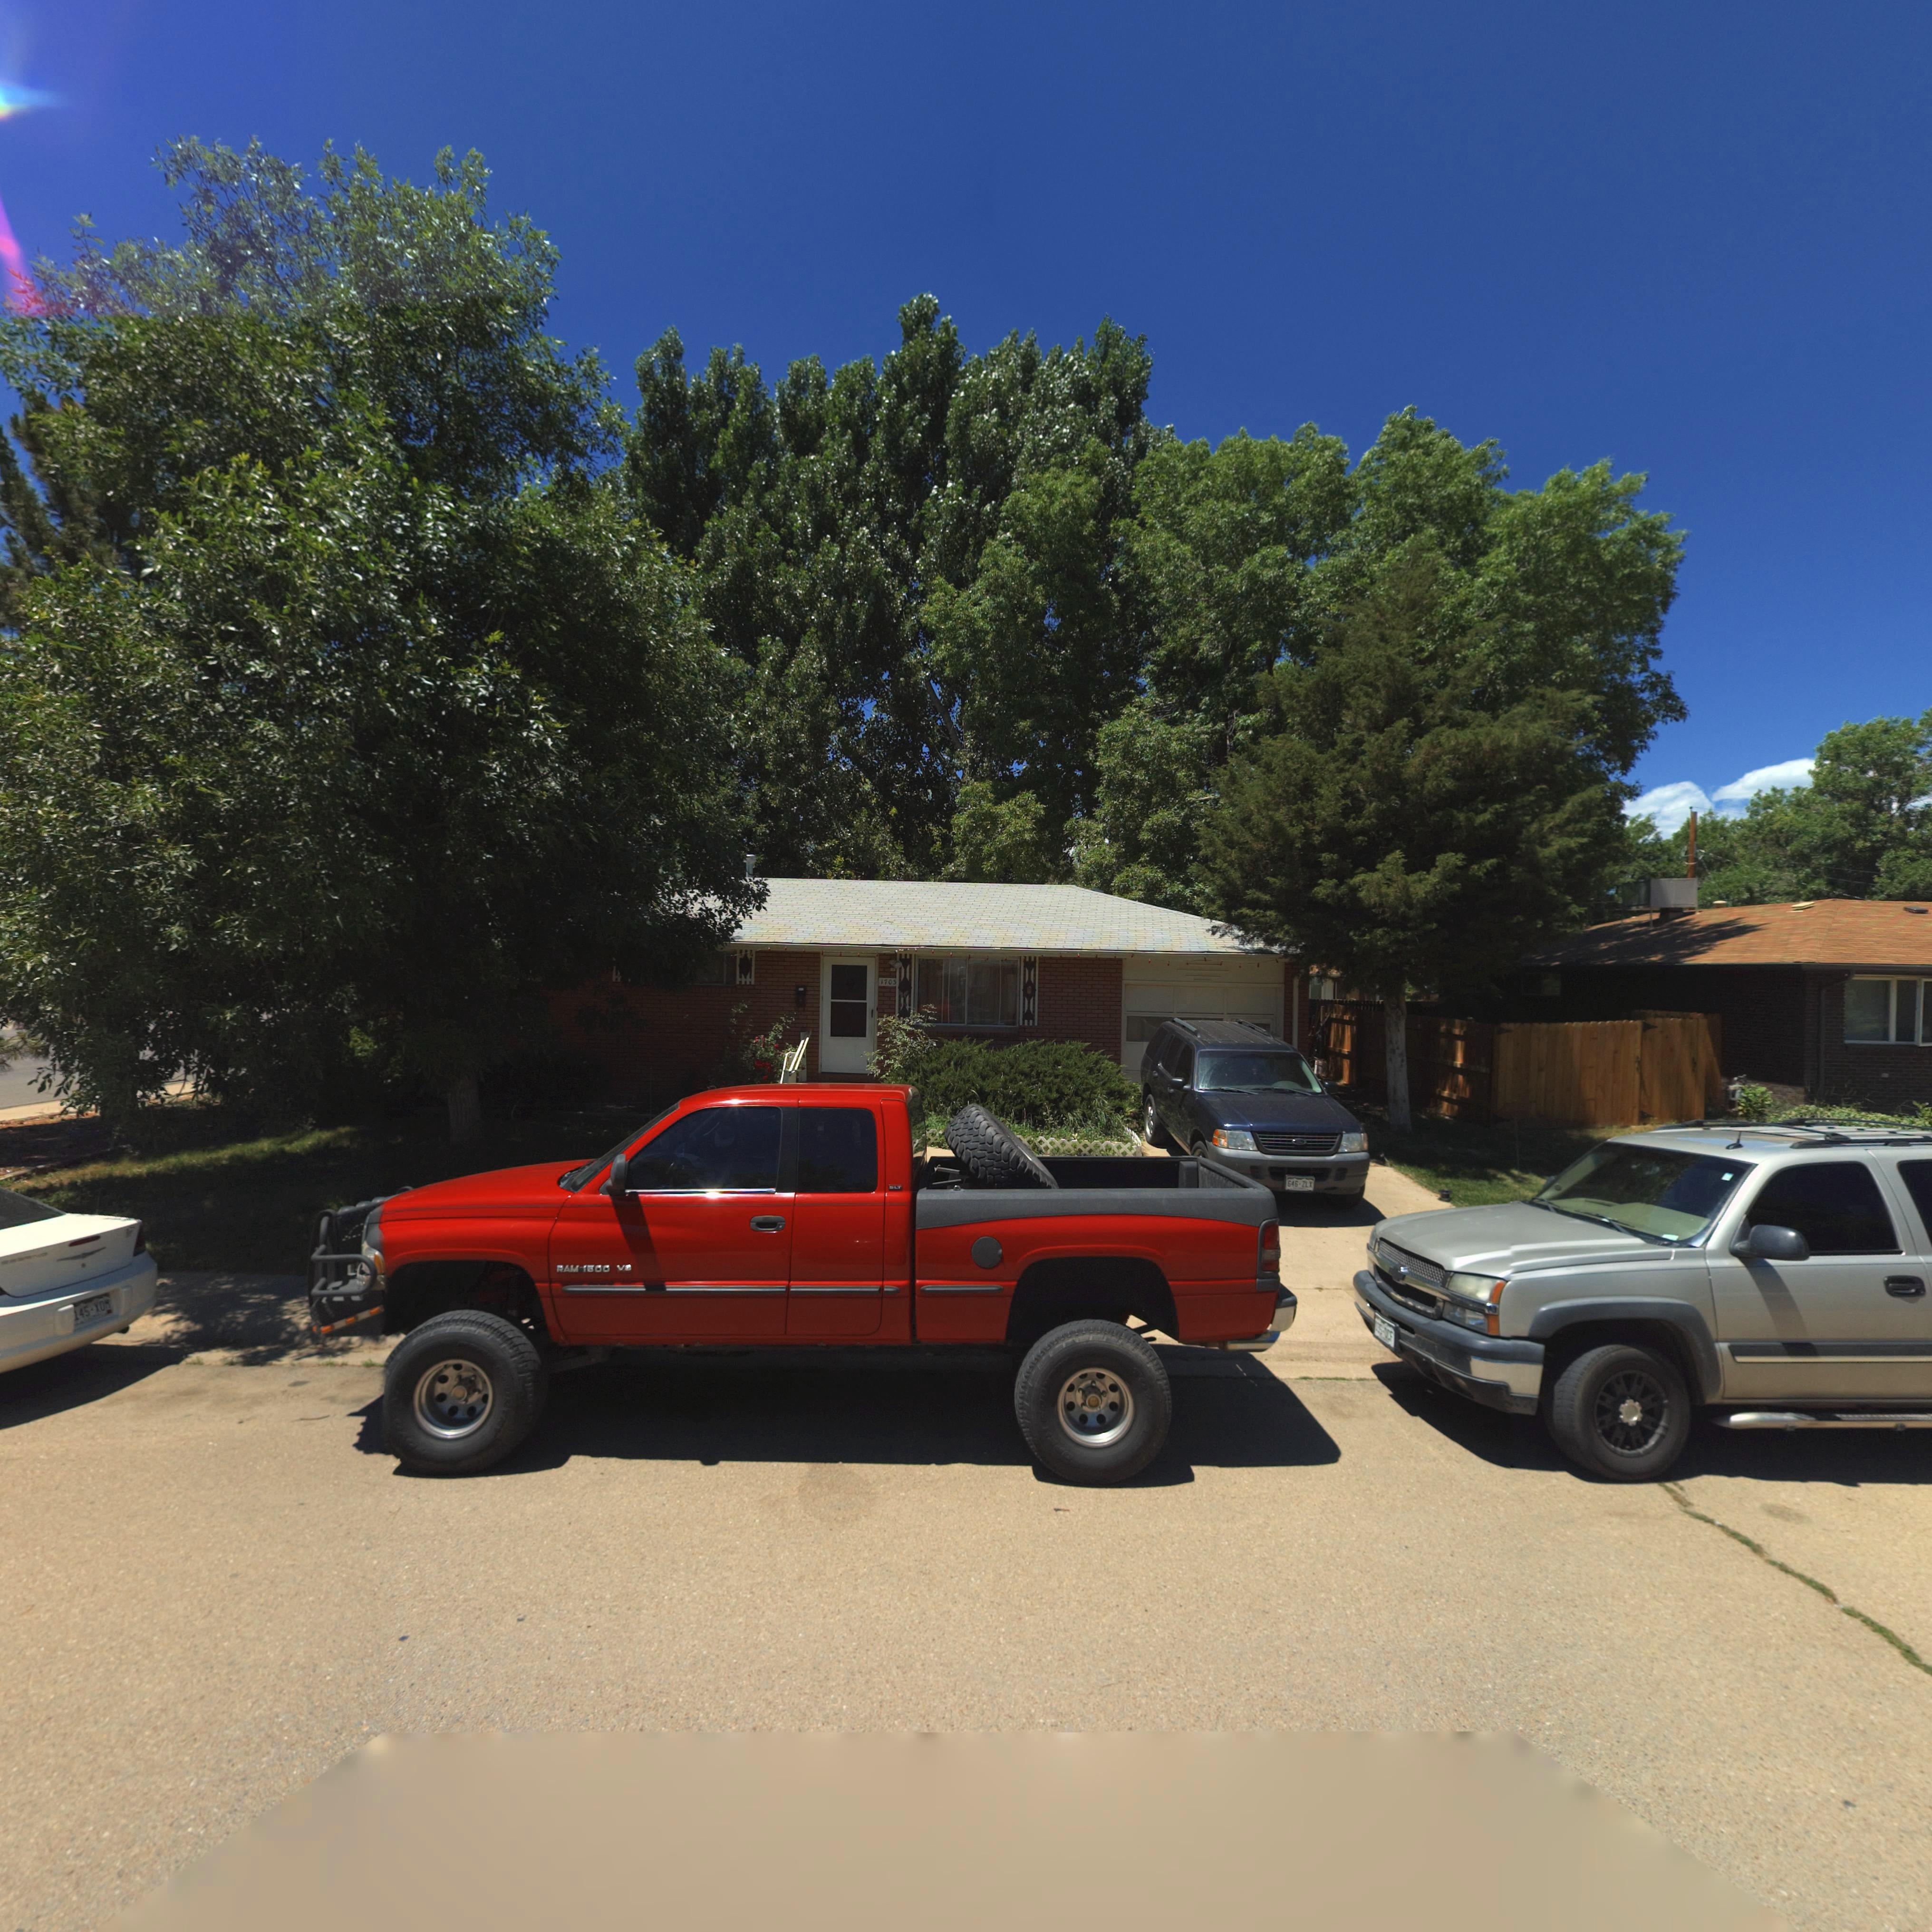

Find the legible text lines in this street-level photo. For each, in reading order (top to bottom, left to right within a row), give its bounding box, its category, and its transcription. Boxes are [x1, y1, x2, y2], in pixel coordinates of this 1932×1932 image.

[881, 978, 896, 985] StreetNumber: 1703